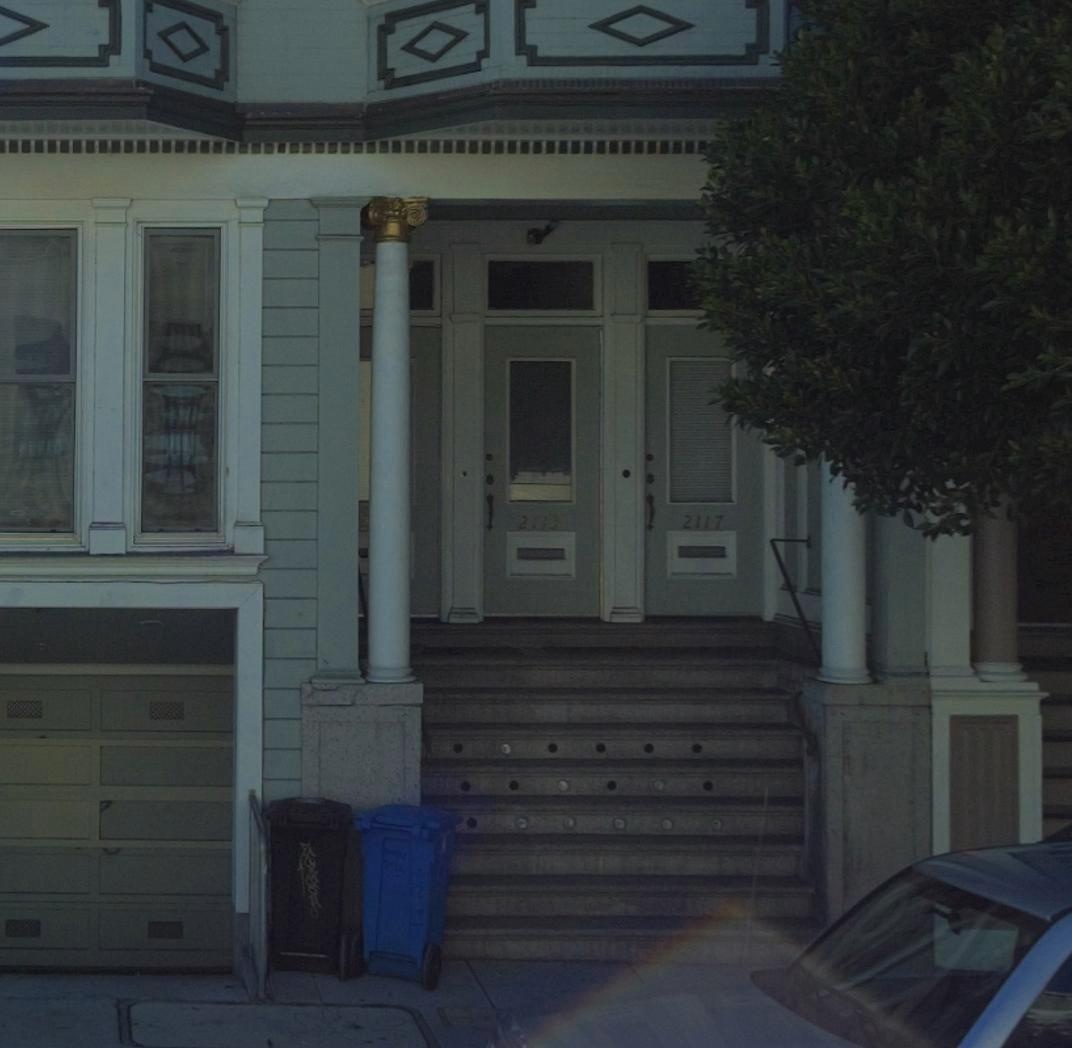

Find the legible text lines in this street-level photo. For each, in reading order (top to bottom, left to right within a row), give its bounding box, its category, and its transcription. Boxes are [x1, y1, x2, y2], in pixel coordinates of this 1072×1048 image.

[518, 514, 561, 531] StreetNumber: 2115
[681, 512, 726, 530] StreetNumber: 2117